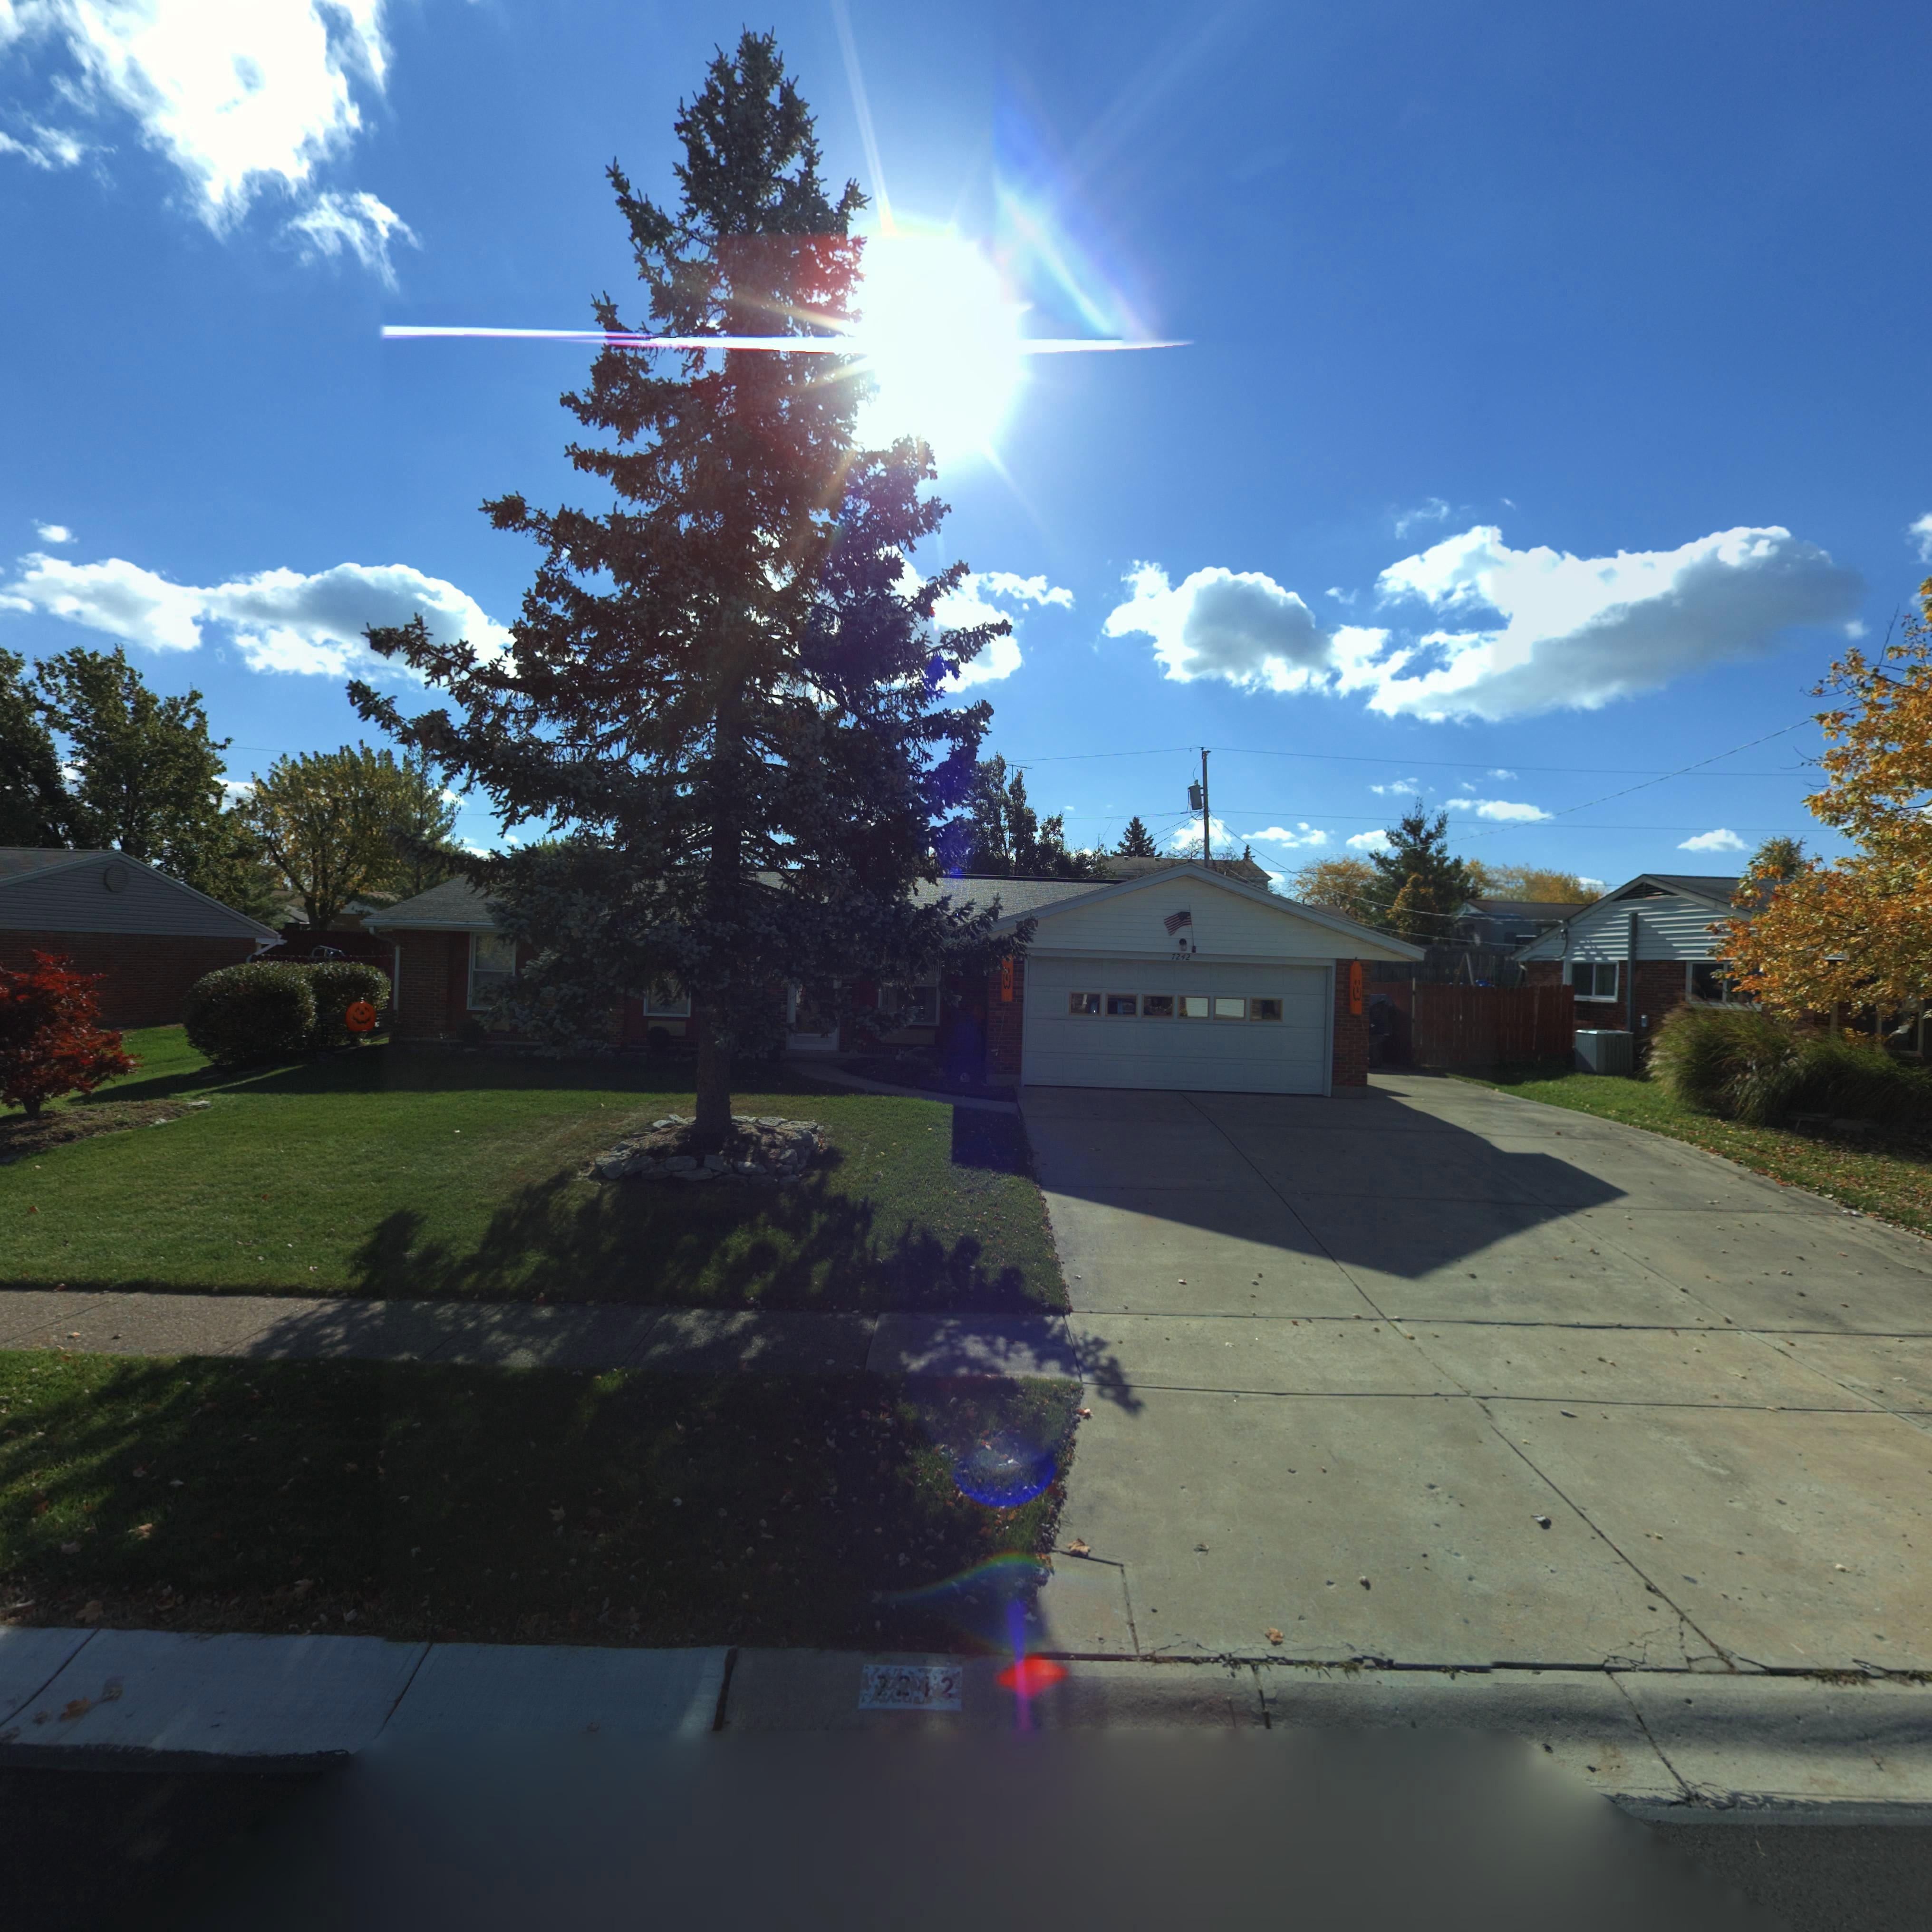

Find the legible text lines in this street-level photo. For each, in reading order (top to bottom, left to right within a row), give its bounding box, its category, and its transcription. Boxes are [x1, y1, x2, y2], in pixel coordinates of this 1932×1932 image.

[1170, 952, 1191, 962] StreetNumber: 7242
[874, 1673, 955, 1700] None: 7242